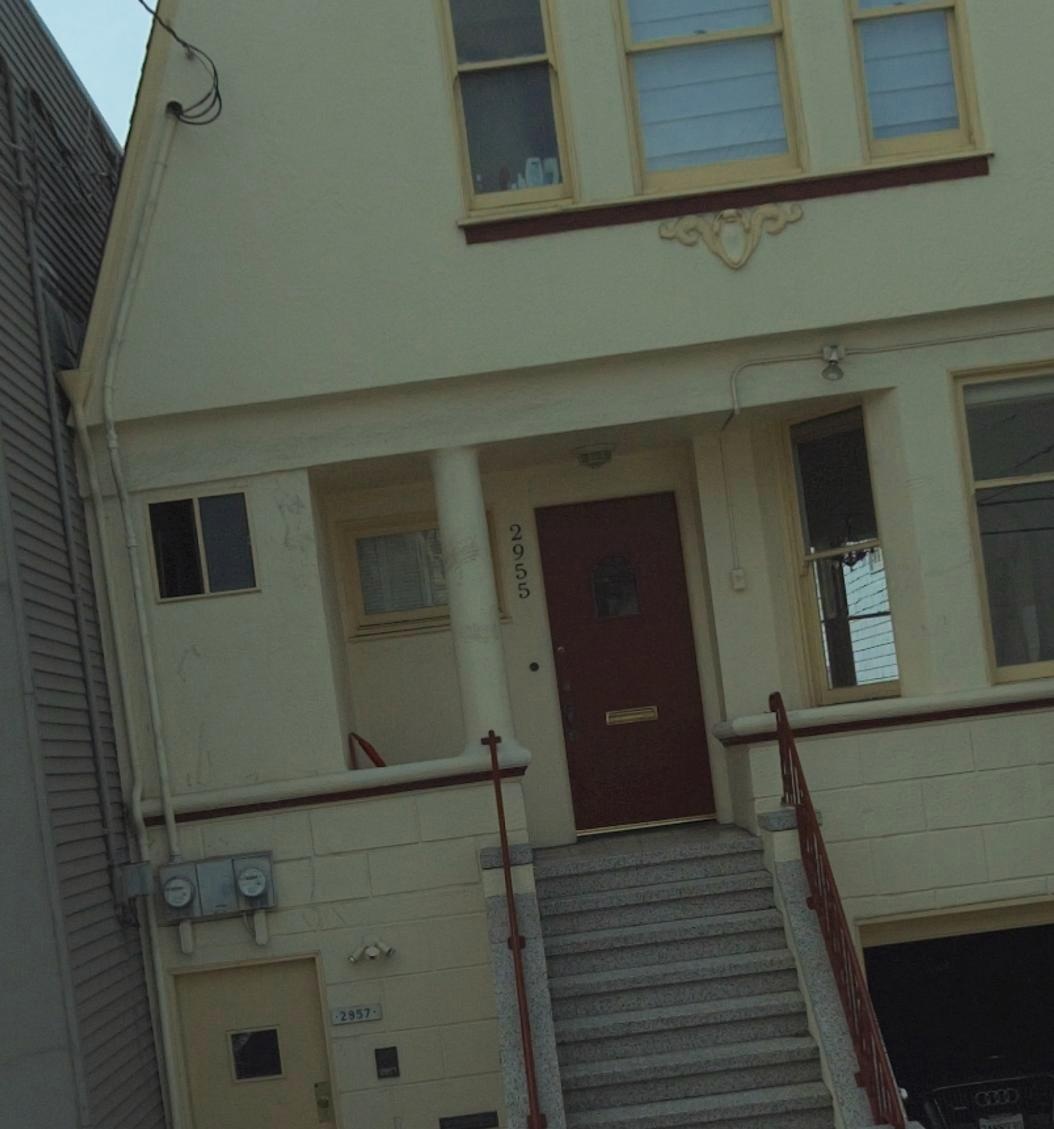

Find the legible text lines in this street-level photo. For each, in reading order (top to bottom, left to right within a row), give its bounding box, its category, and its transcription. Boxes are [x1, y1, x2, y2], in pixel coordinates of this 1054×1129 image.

[505, 520, 533, 602] StreetNumber: 2955
[337, 1005, 373, 1025] StreetNumber: 2957